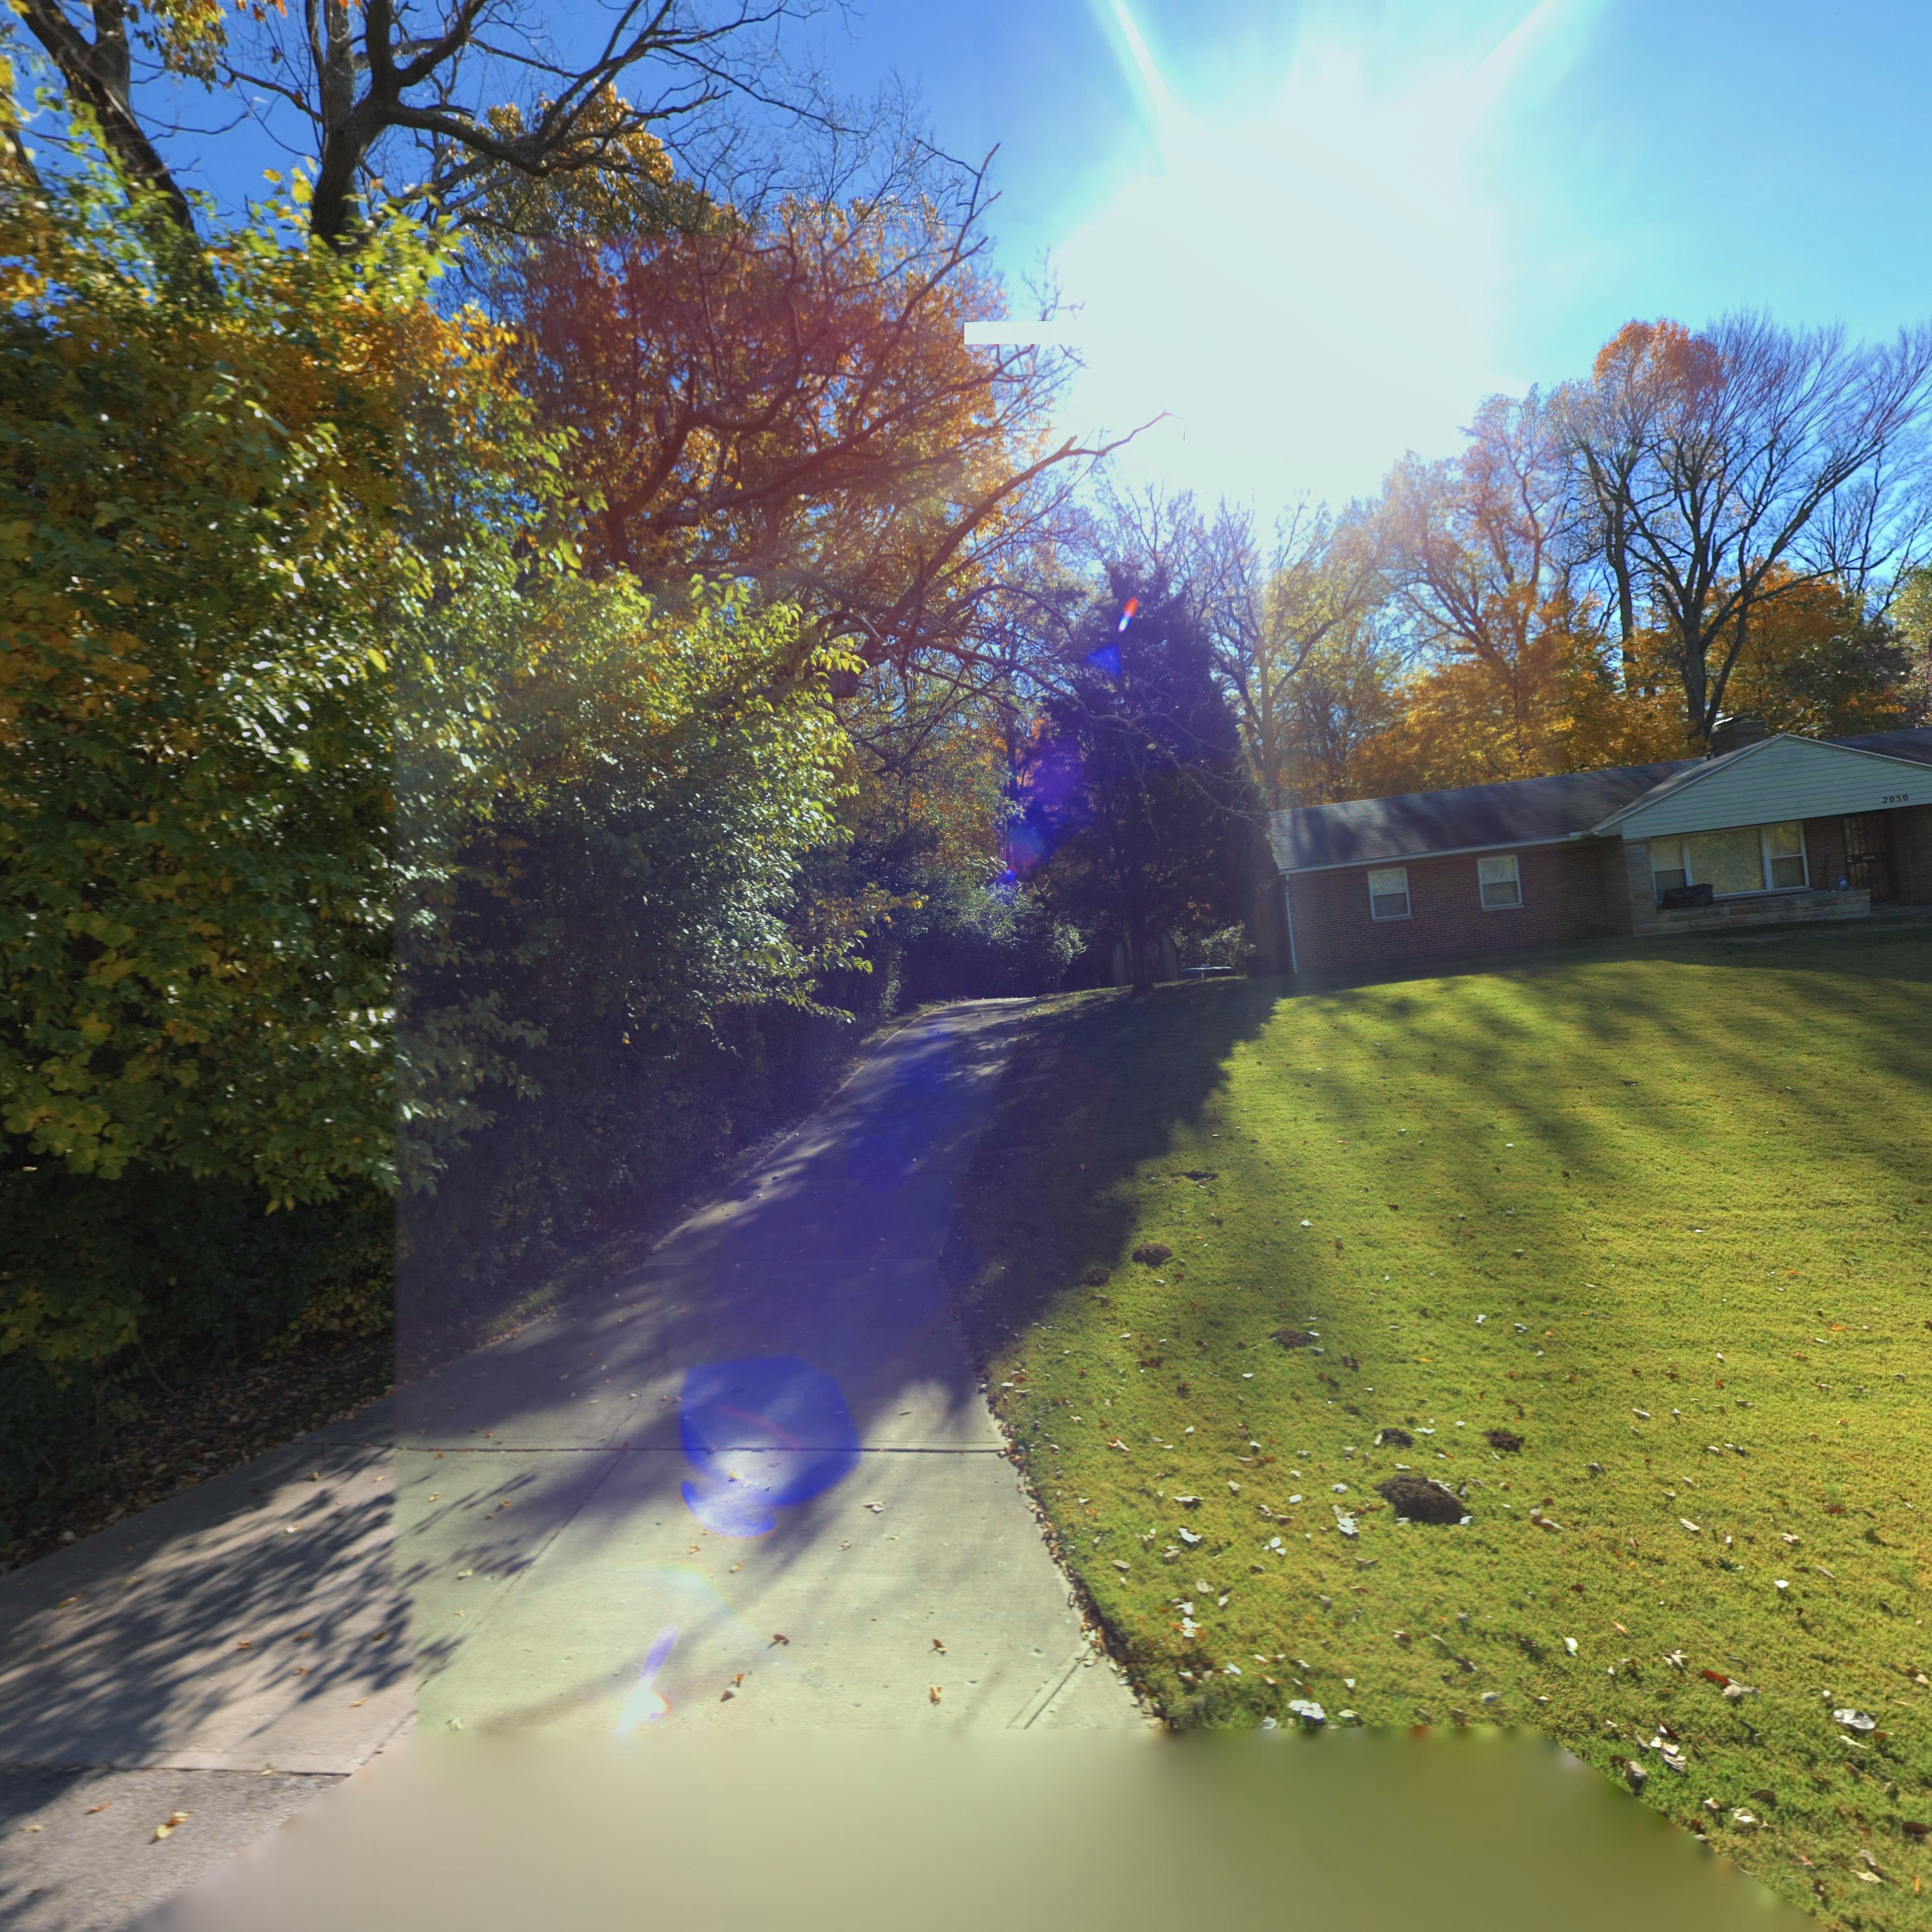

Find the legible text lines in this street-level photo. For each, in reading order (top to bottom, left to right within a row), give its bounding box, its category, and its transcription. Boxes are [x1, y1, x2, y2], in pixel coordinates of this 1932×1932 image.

[1881, 793, 1910, 804] StreetNumber: 2050